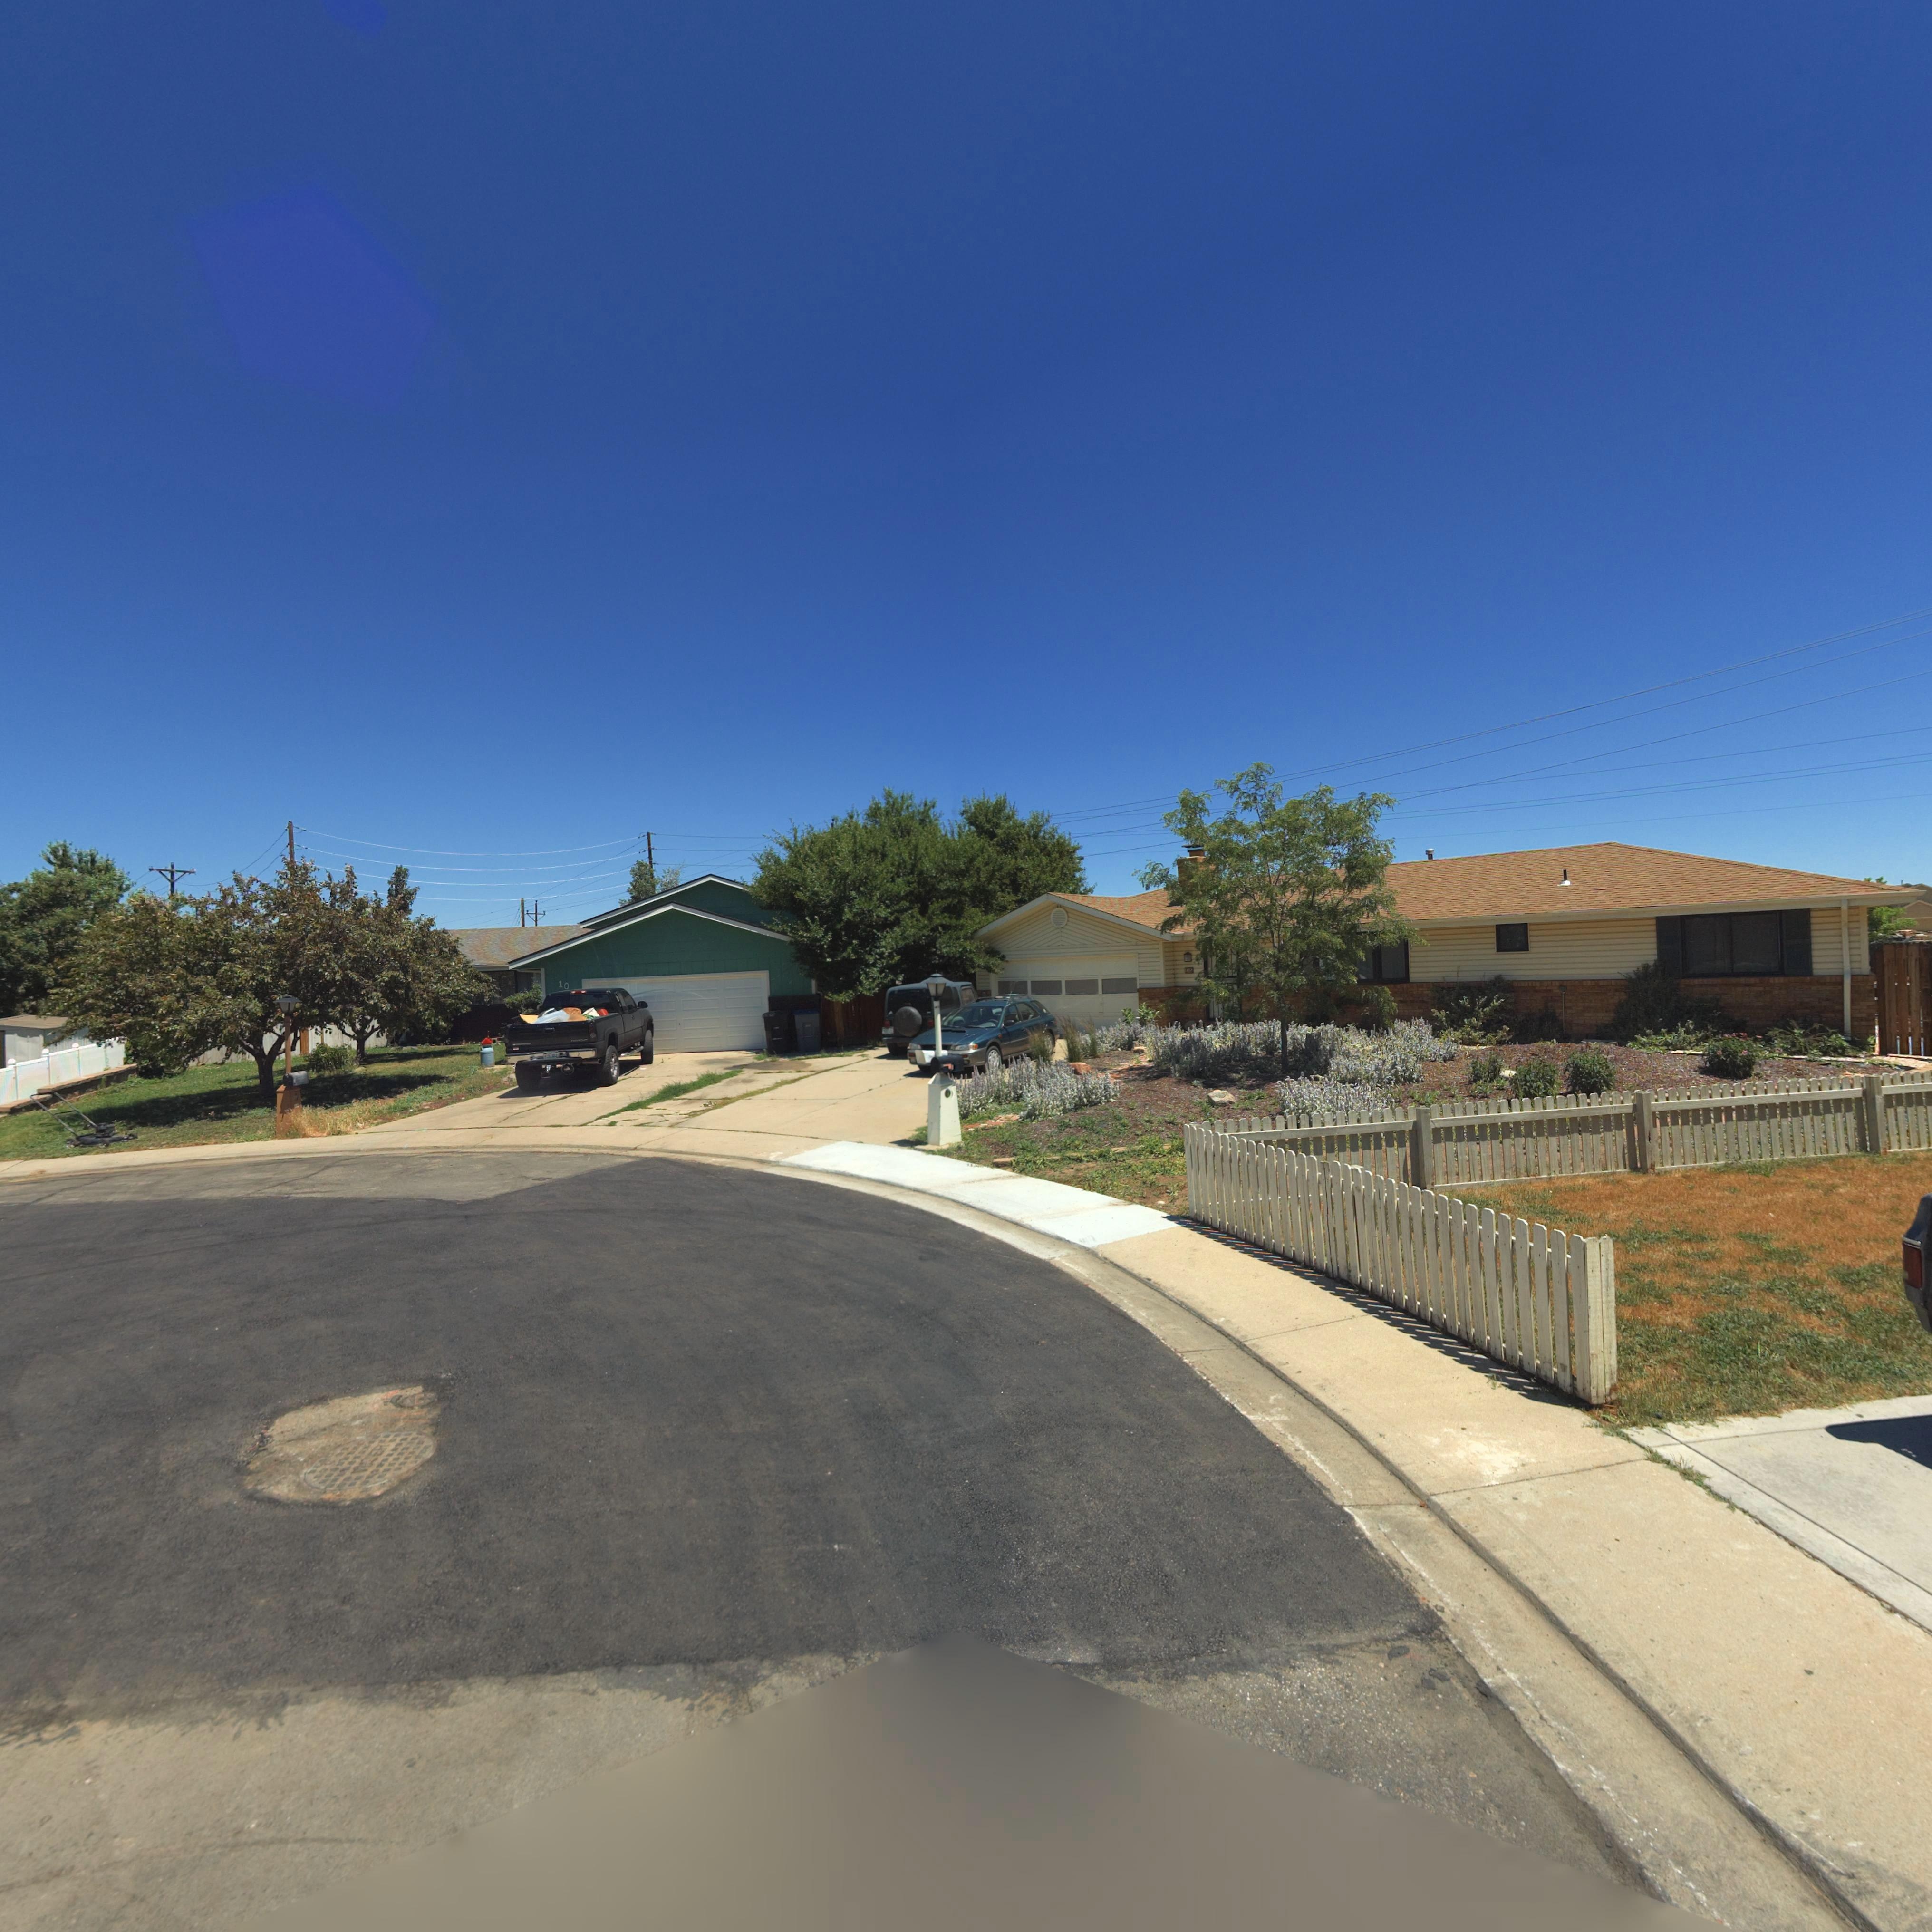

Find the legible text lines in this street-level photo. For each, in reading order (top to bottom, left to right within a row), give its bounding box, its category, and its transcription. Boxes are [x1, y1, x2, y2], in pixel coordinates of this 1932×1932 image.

[1184, 967, 1193, 973] StreetNumber: 5**
[558, 980, 570, 990] StreetNumber: 10